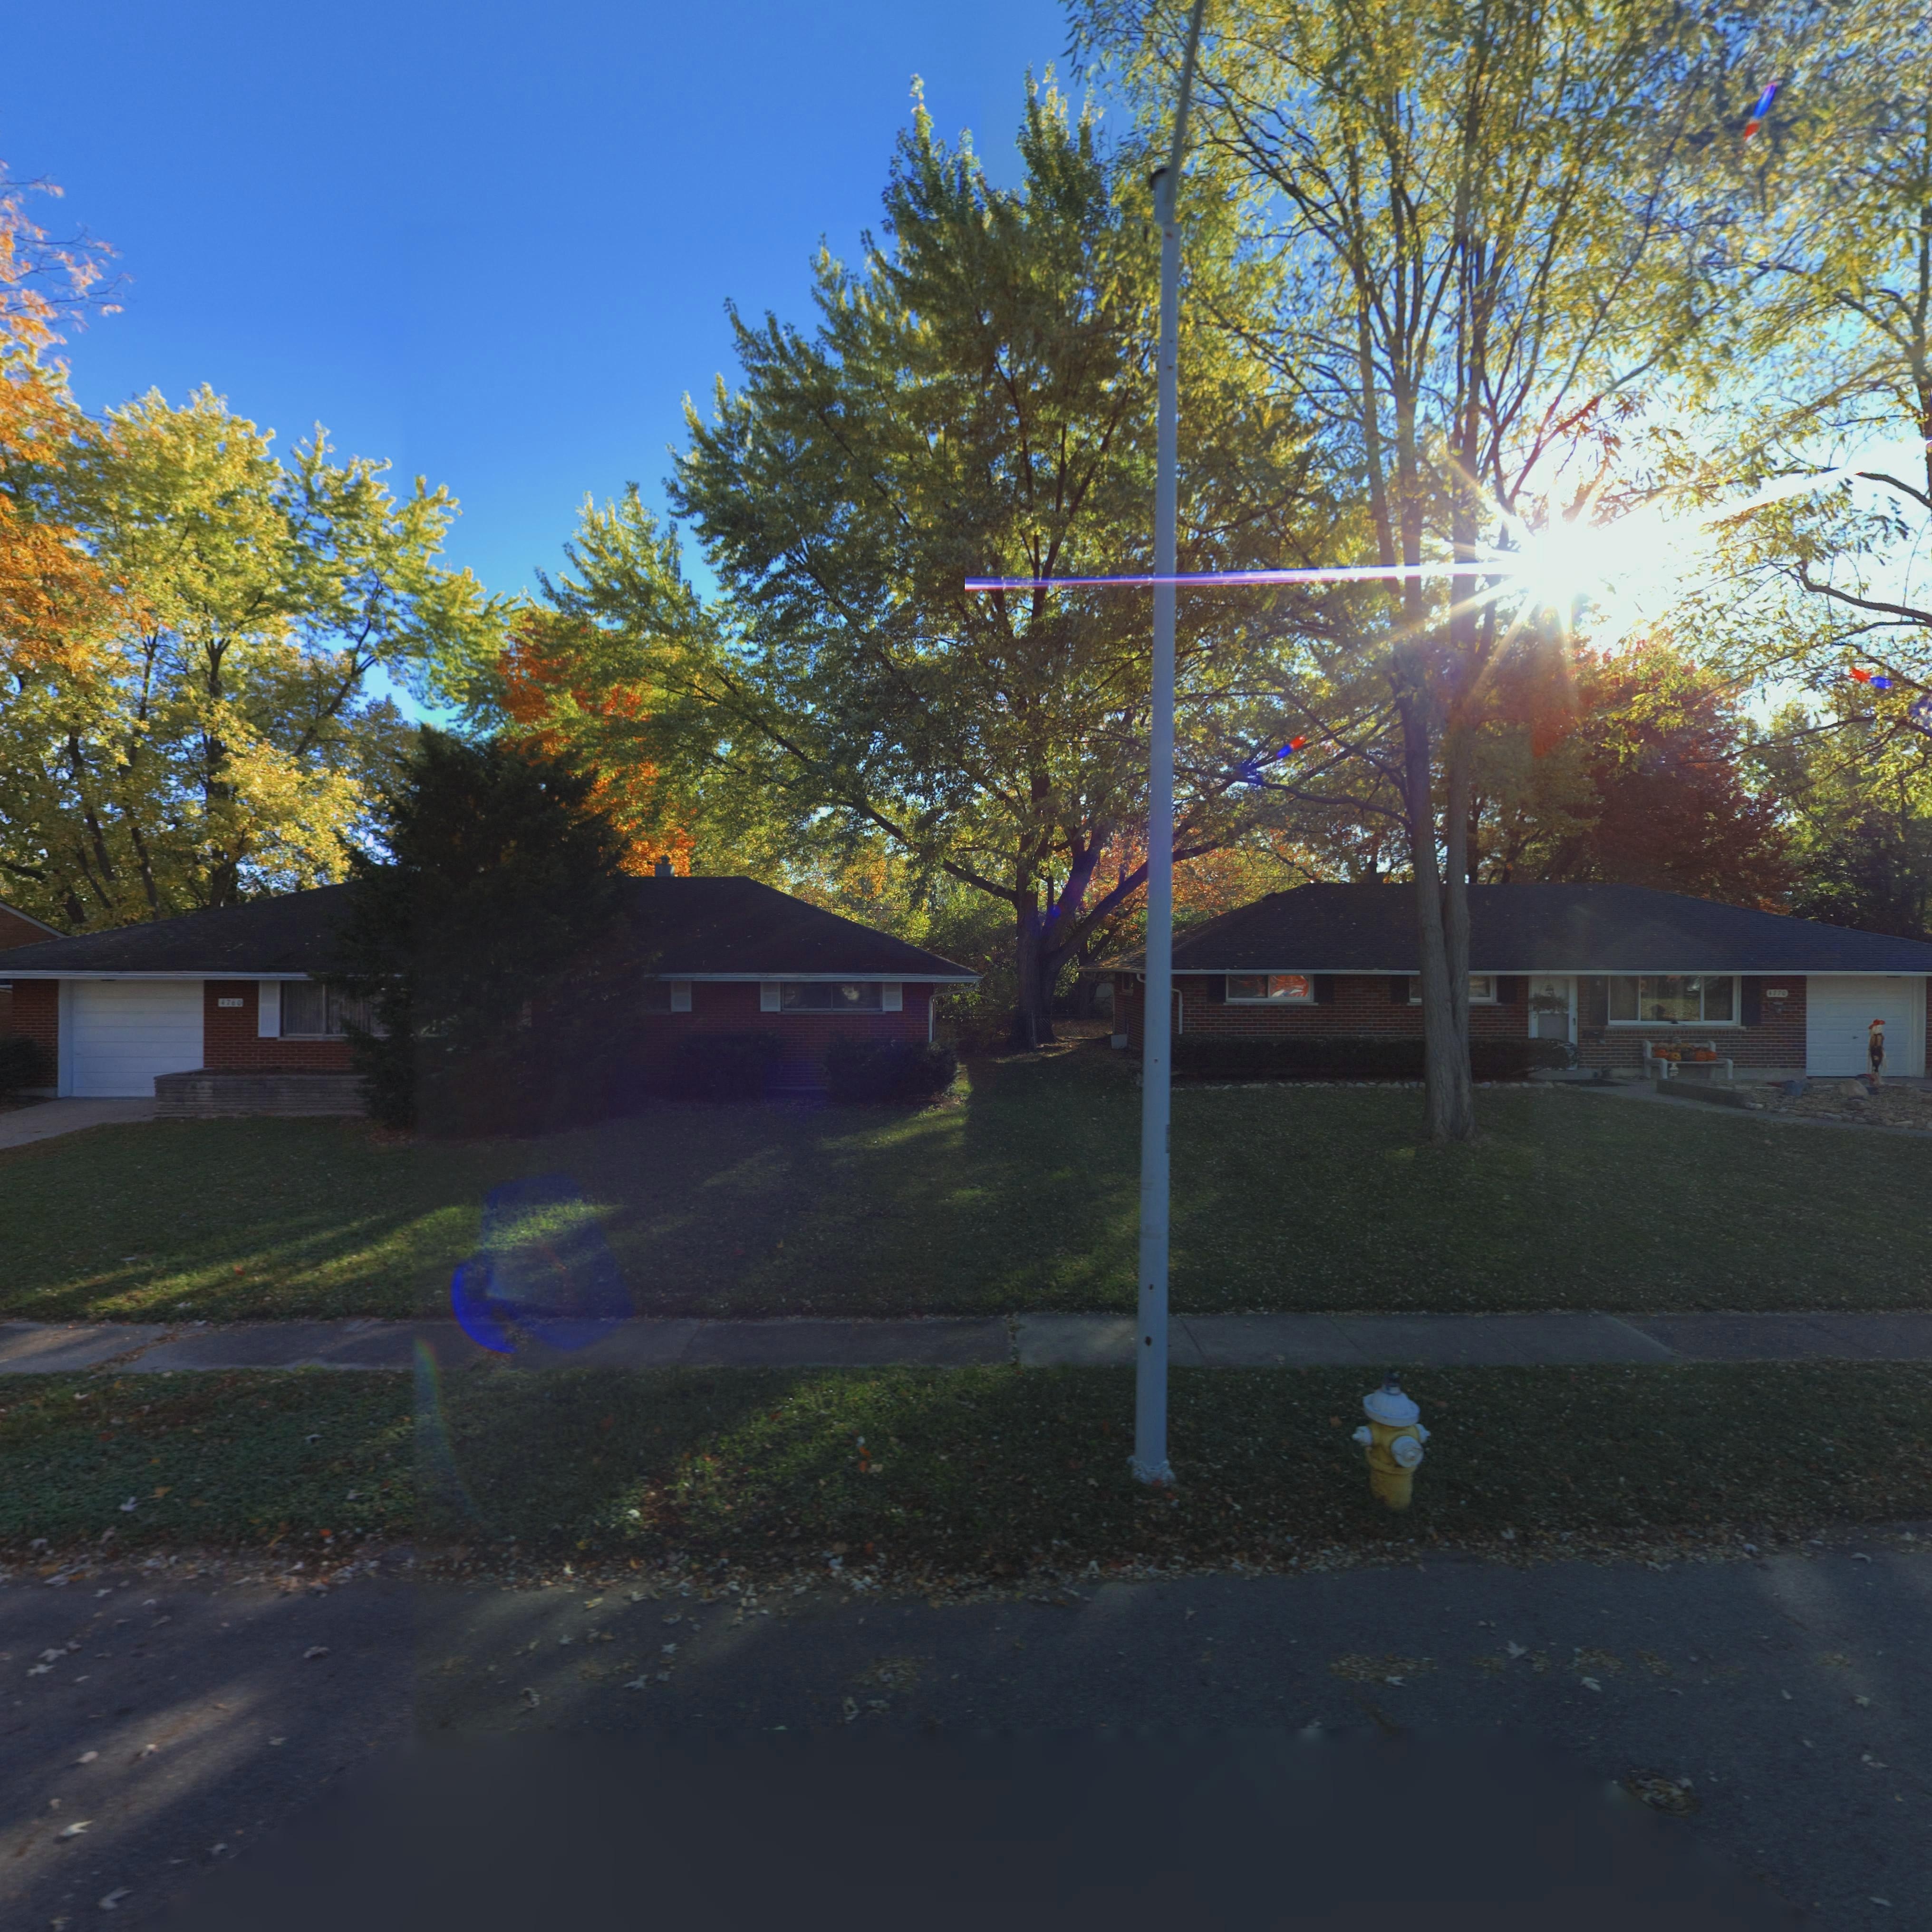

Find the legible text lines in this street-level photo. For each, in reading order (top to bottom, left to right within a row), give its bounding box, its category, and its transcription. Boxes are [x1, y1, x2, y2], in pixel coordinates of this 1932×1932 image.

[221, 998, 242, 1006] StreetNumber: 4760